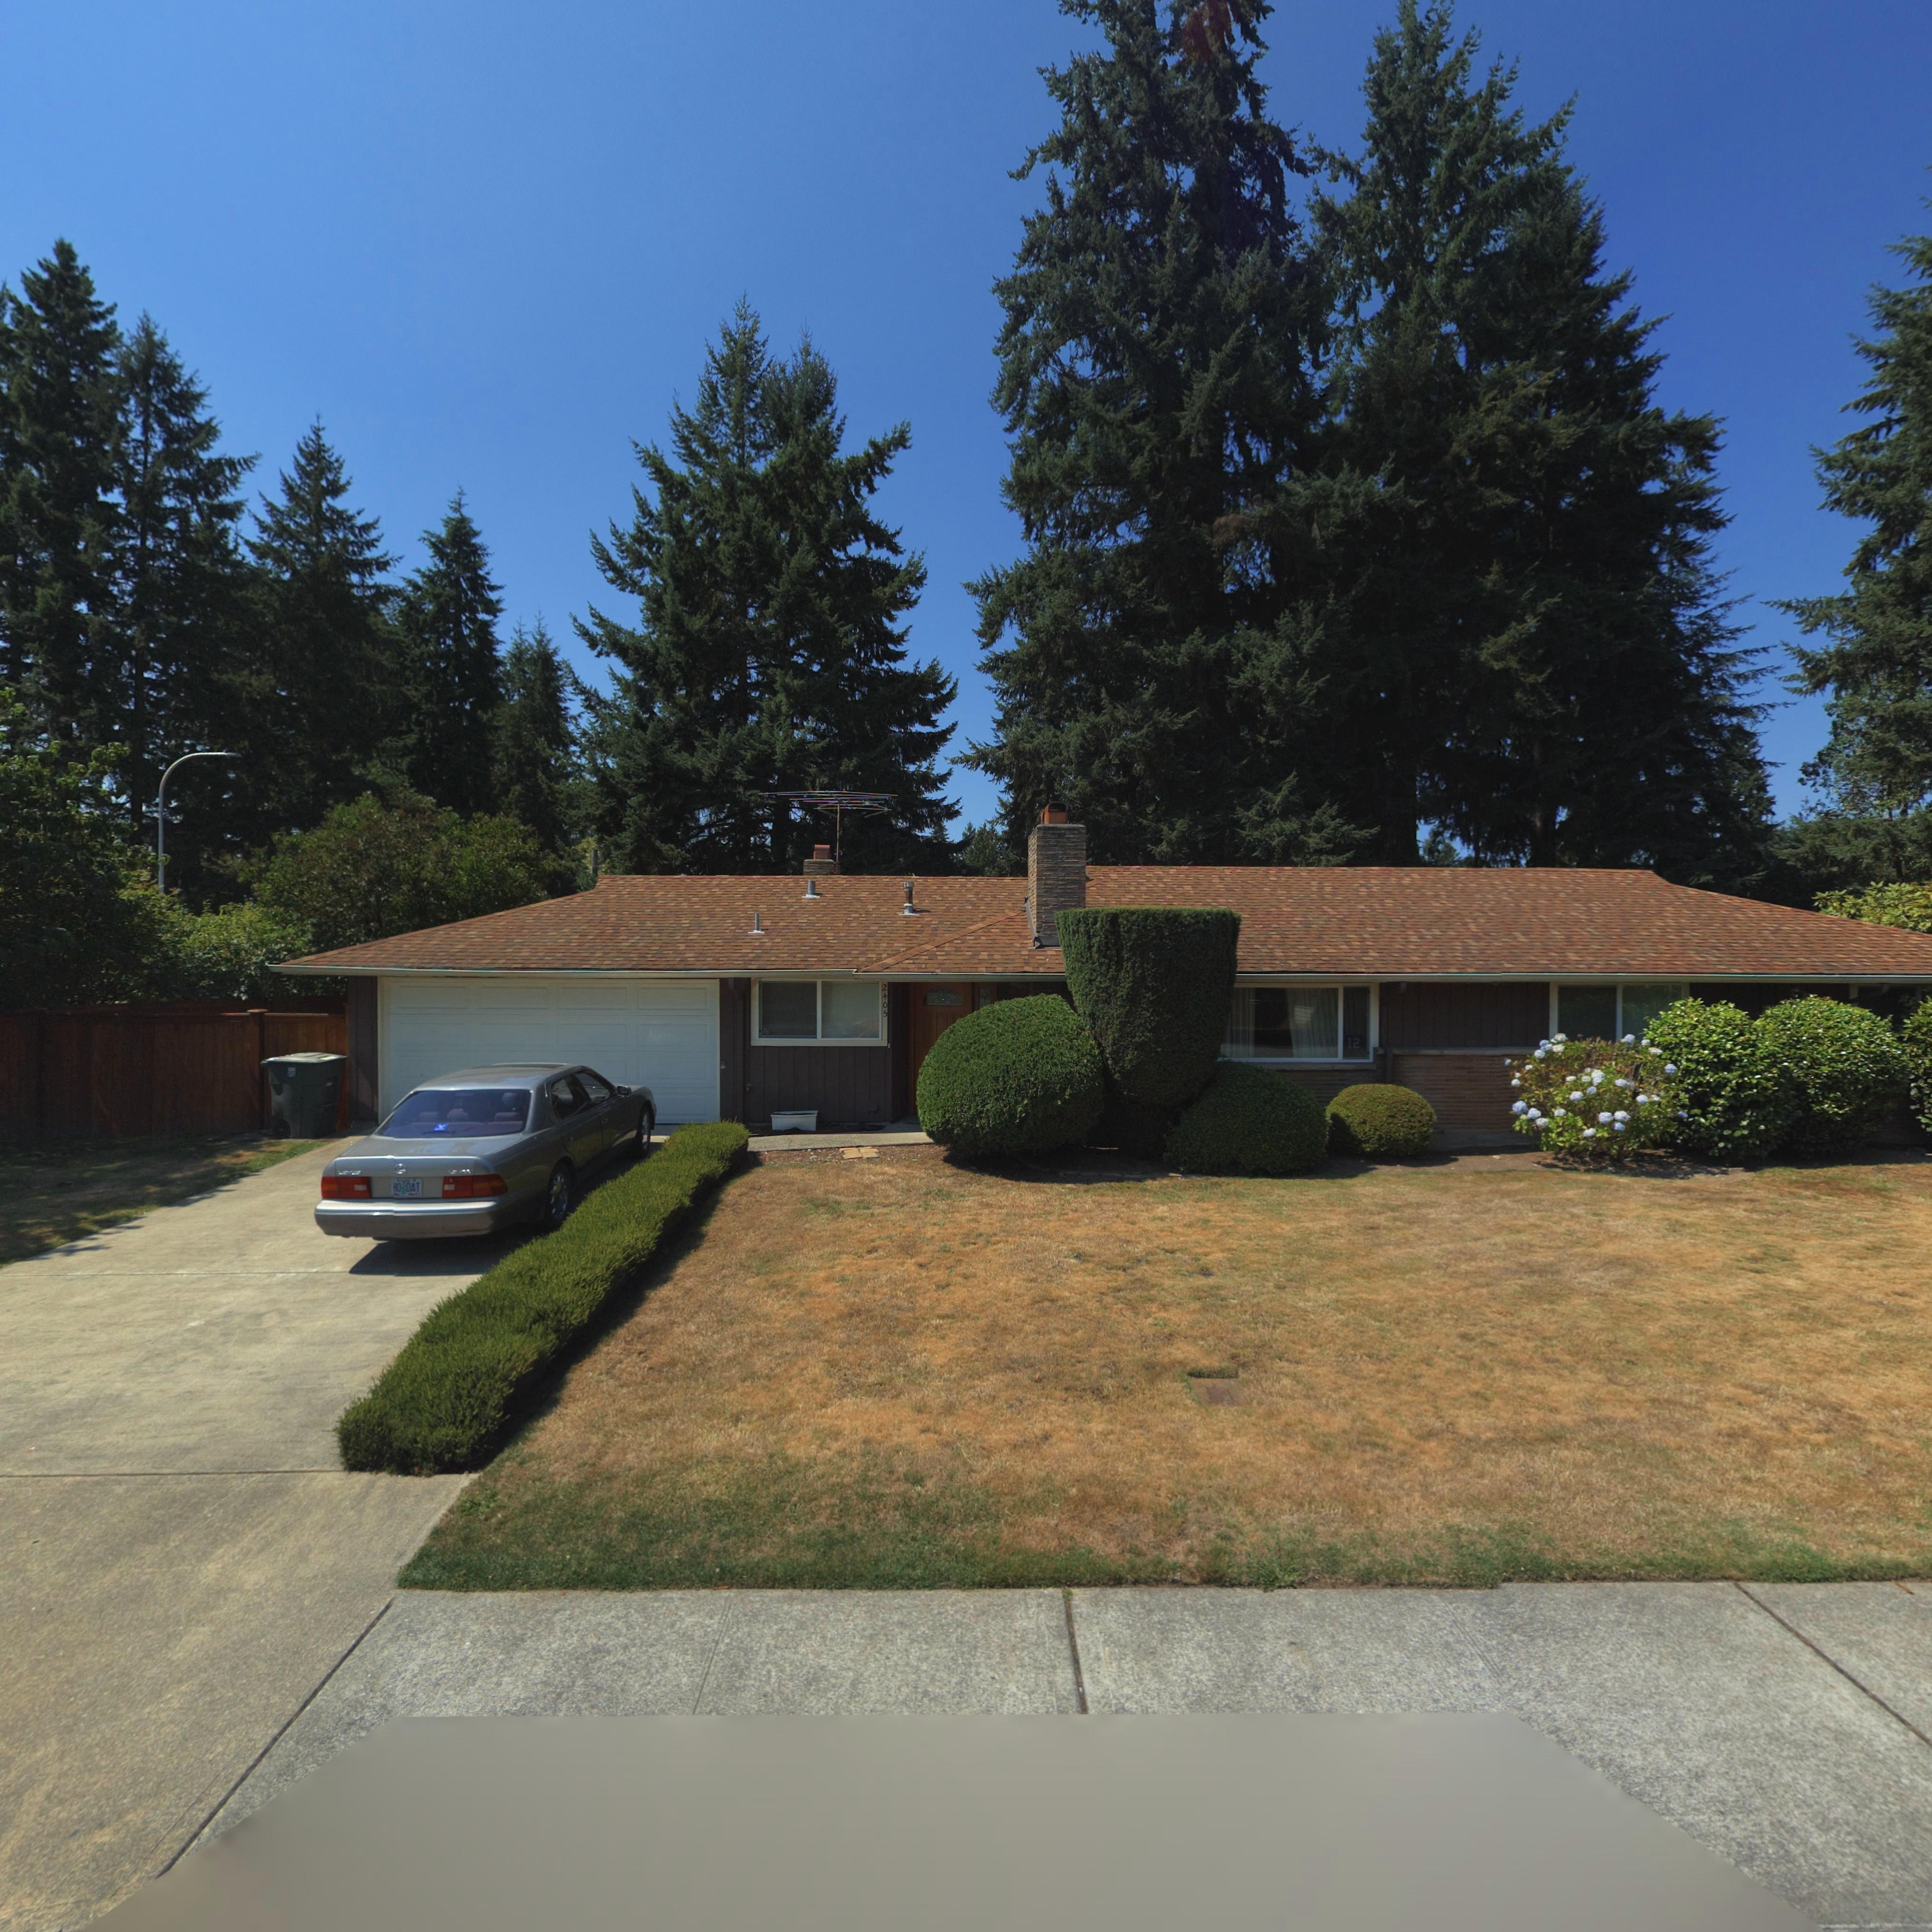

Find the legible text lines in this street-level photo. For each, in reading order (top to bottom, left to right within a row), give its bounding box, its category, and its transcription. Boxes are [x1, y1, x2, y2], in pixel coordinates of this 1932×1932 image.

[882, 984, 887, 1017] None: 2405